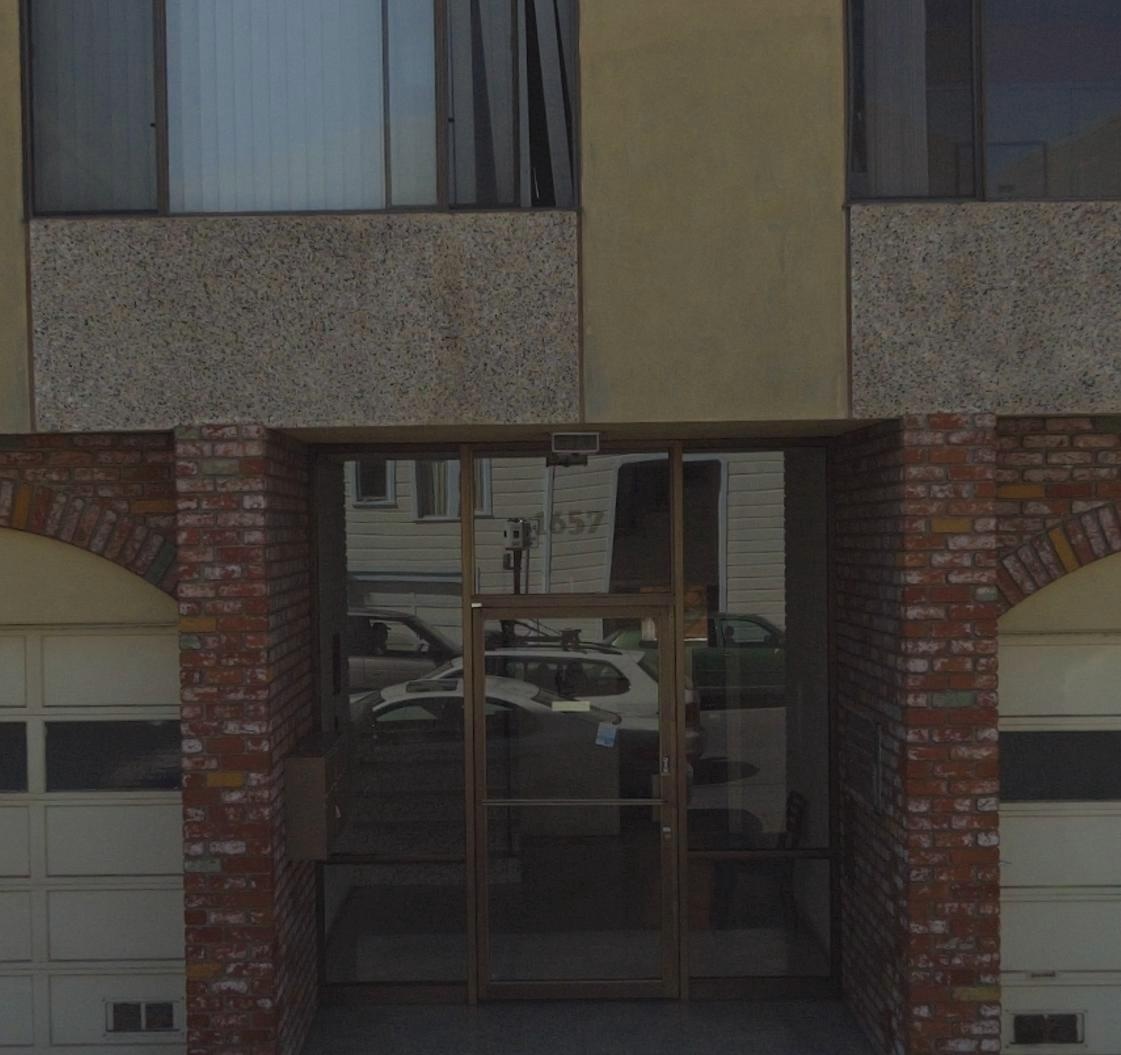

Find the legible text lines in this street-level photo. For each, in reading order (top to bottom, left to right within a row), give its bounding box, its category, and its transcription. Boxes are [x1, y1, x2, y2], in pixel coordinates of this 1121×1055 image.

[531, 508, 607, 538] StreetNumber: 1657